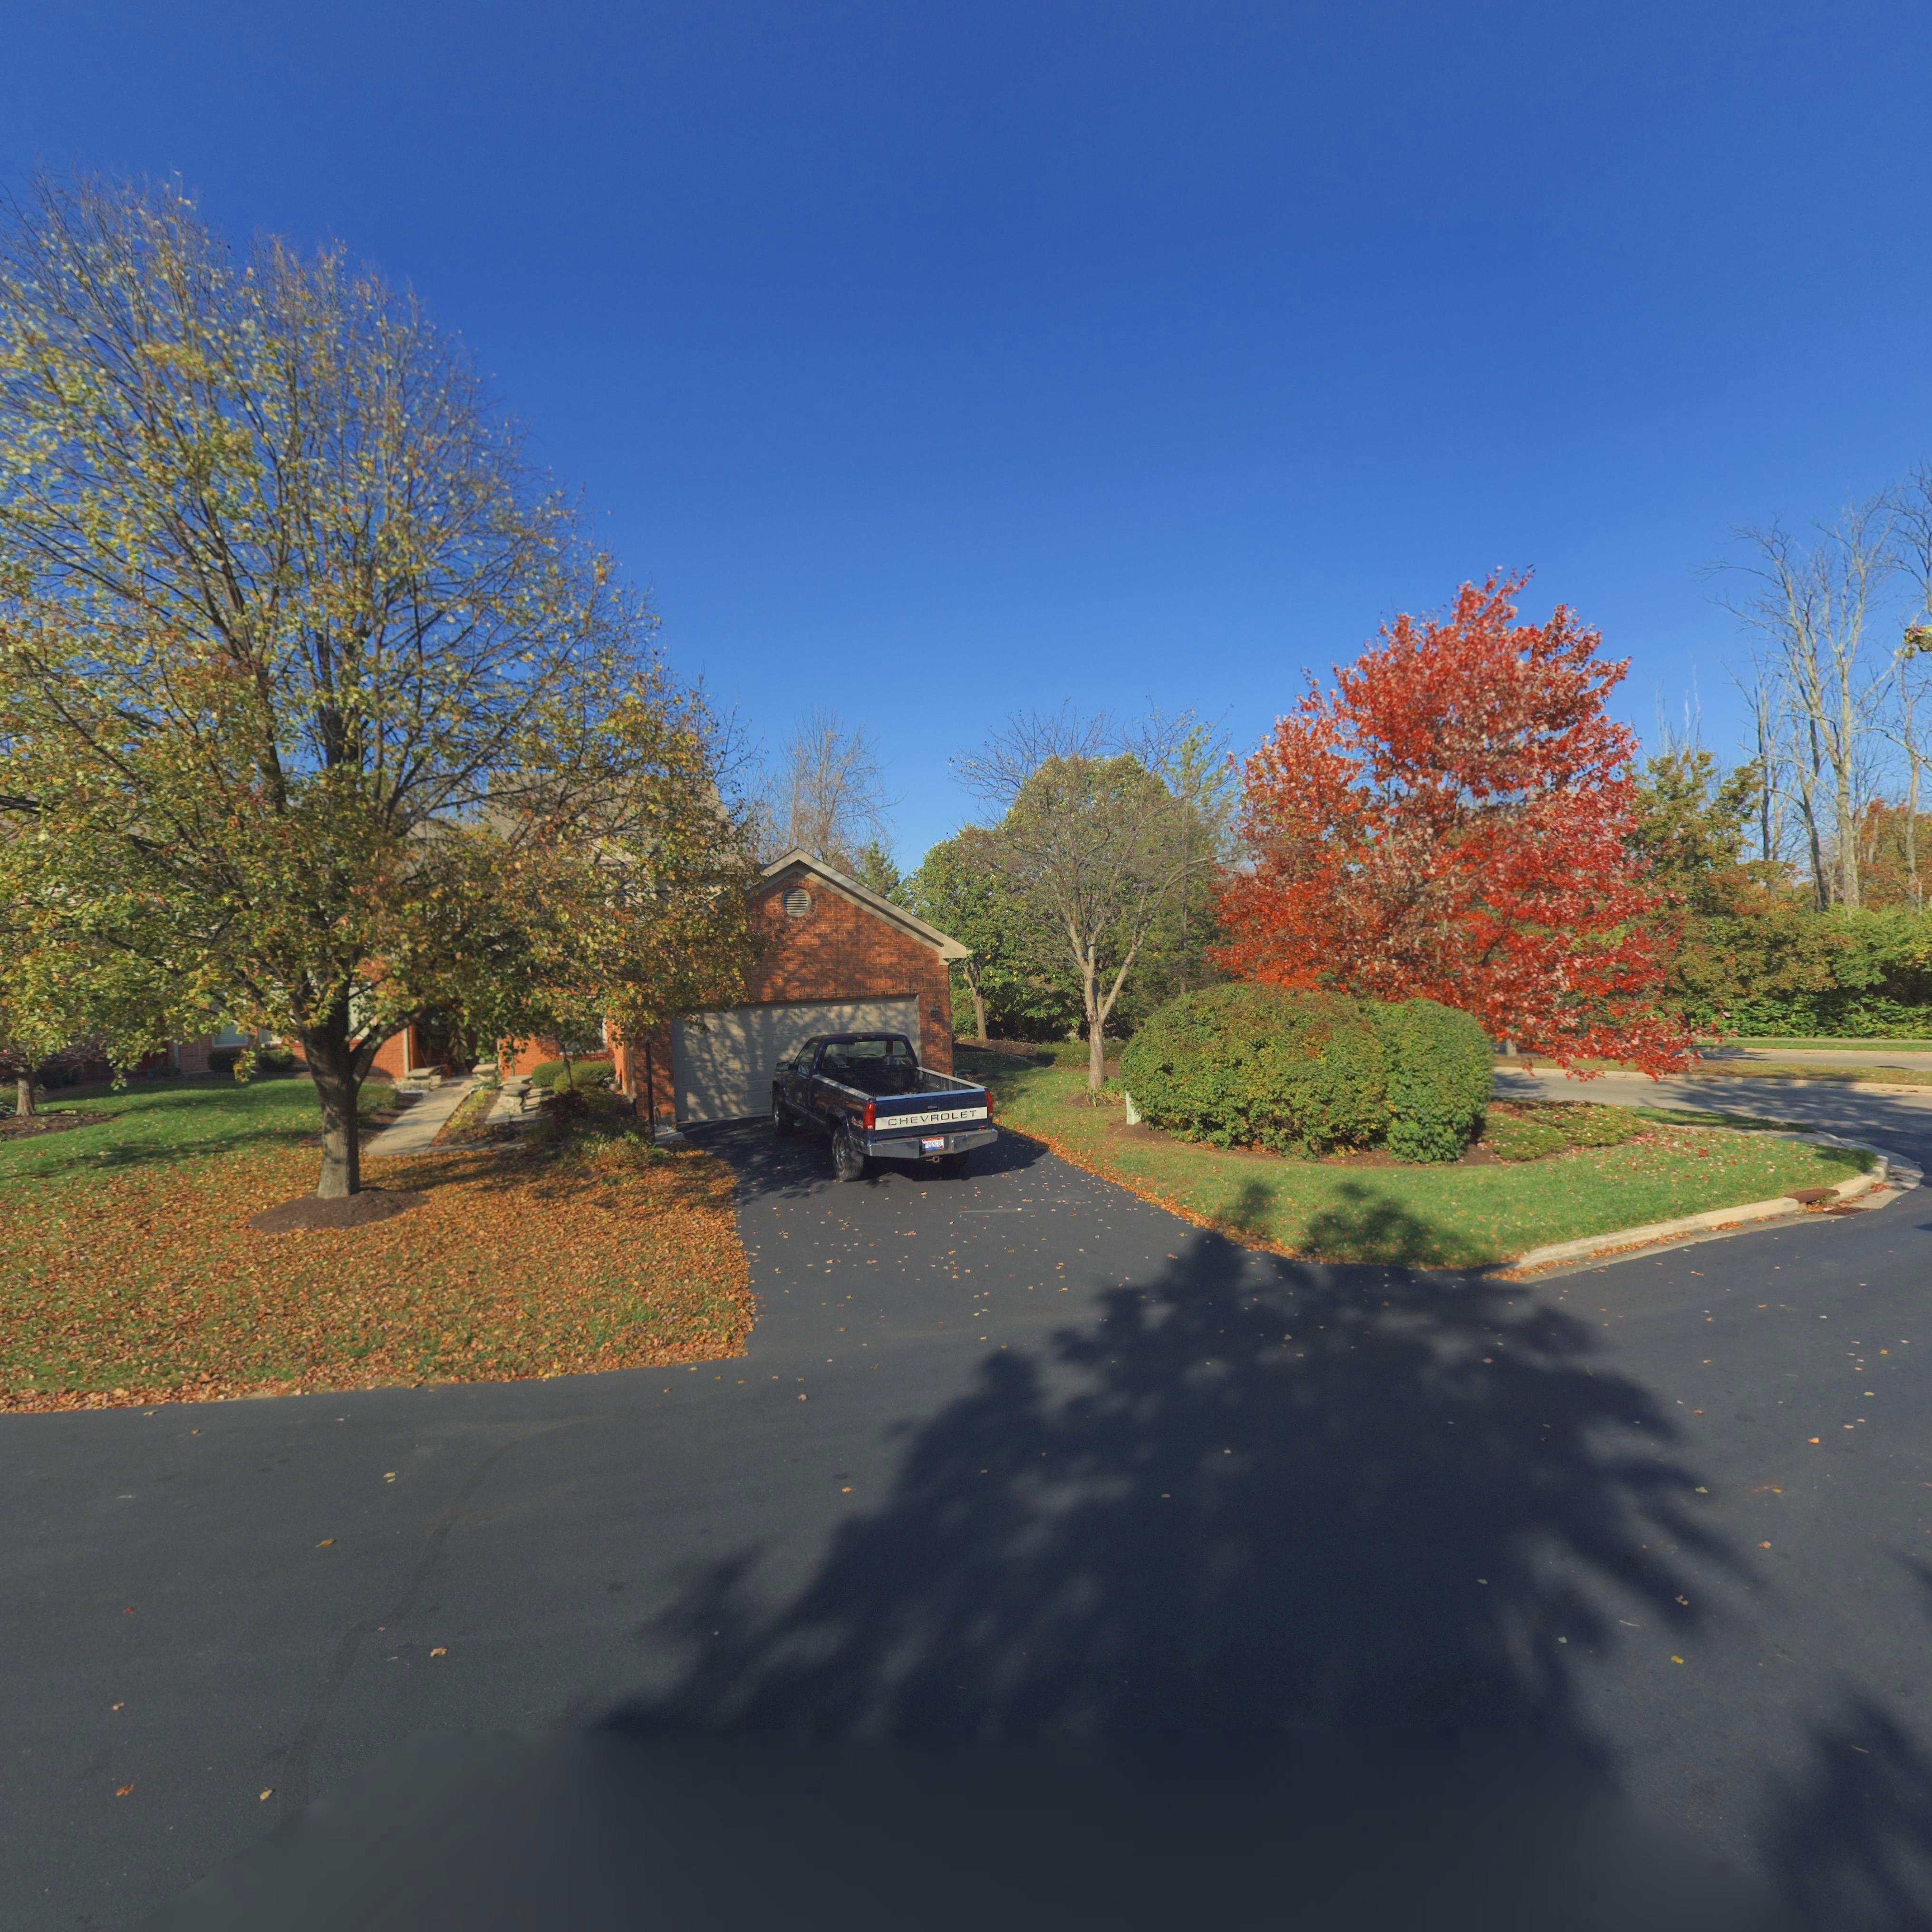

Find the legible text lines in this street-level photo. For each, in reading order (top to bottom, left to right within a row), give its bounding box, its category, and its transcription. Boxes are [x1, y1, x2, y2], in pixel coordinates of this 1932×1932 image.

[793, 984, 806, 993] StreetNumber: 801